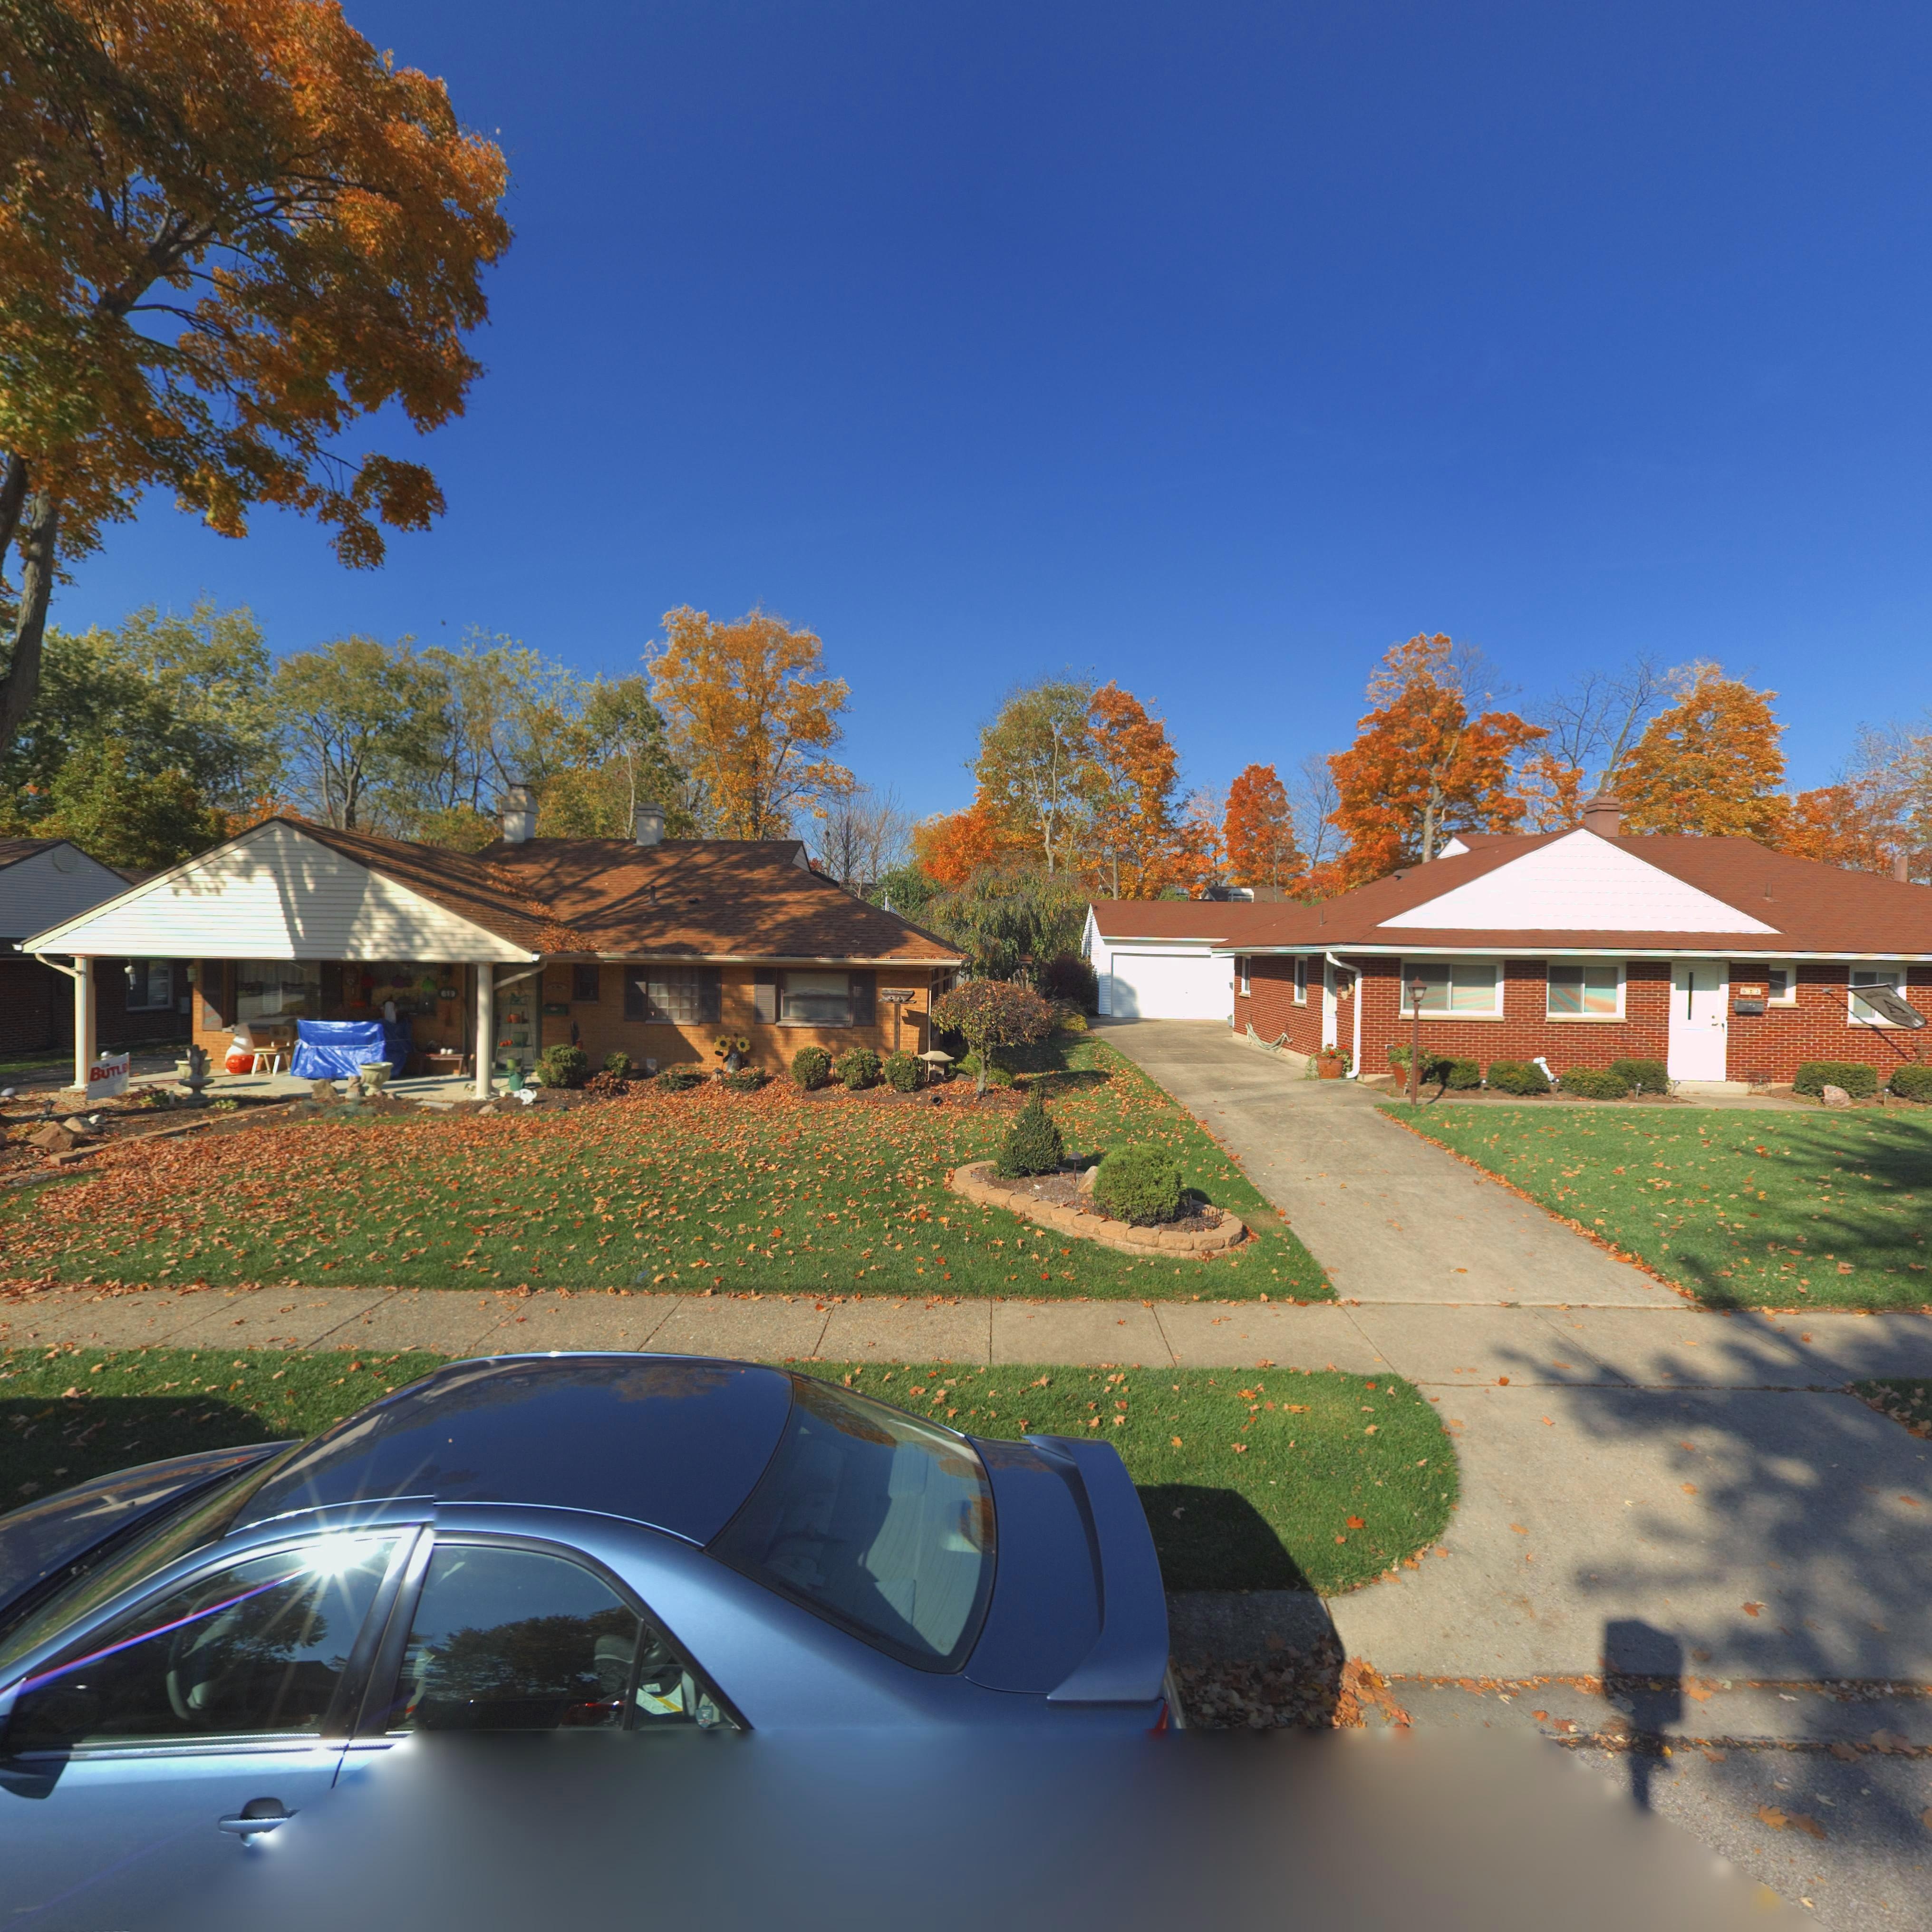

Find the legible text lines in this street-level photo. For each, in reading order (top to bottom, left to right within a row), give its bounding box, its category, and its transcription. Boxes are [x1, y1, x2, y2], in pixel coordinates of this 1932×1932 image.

[440, 990, 455, 997] StreetNumber: 619
[1741, 989, 1759, 994] StreetNumber: 62*
[89, 1063, 127, 1082] None: BUTLE